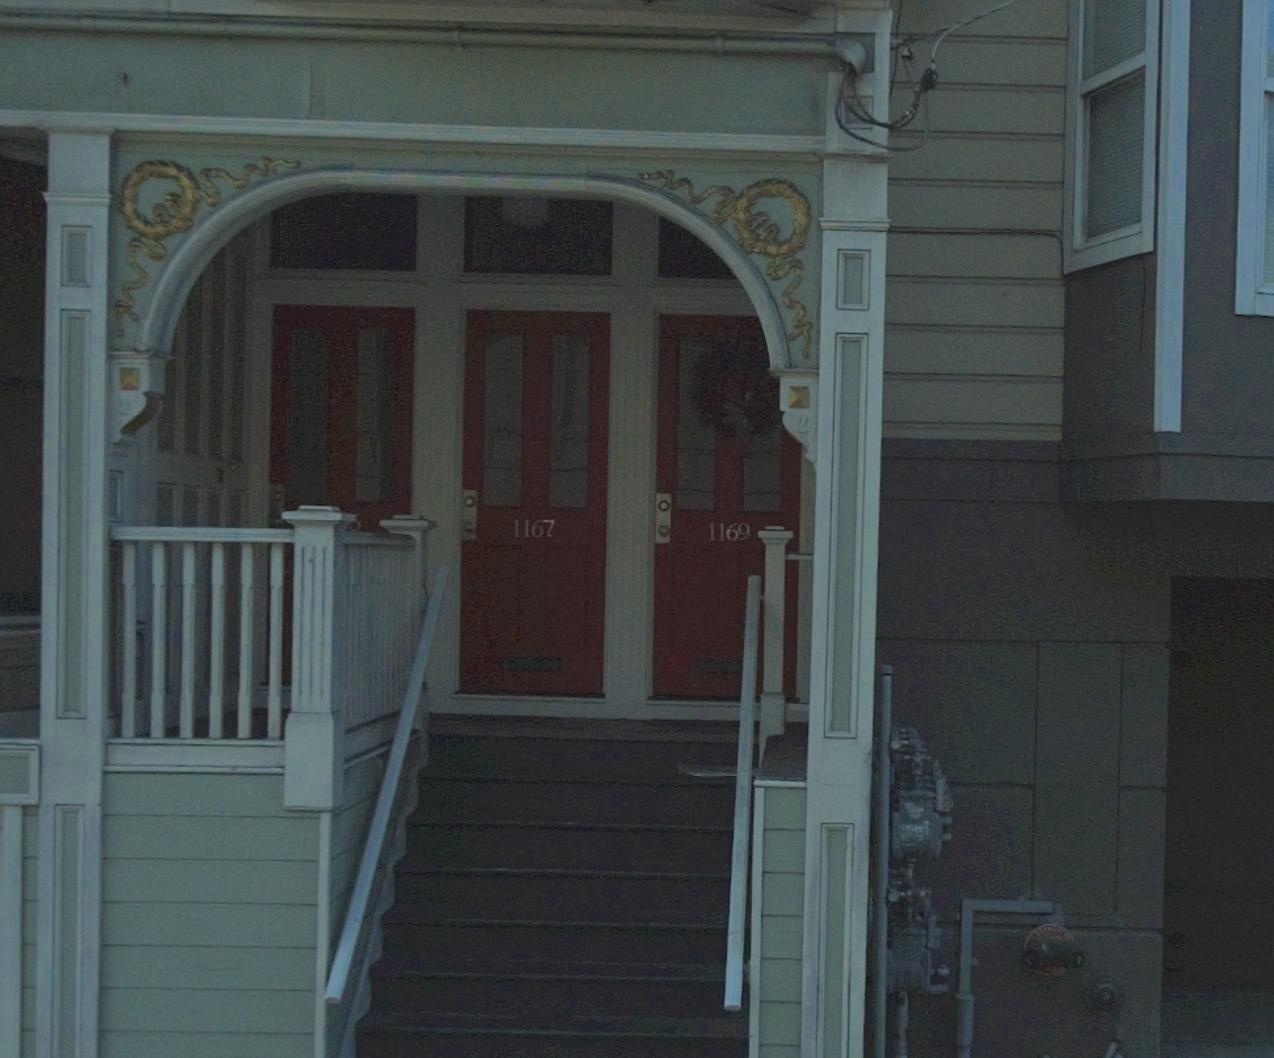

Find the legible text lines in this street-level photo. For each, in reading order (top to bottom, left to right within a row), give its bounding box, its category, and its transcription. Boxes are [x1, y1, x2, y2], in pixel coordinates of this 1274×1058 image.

[511, 516, 556, 540] StreetNumber: 1167
[707, 520, 752, 543] StreetNumber: 1169